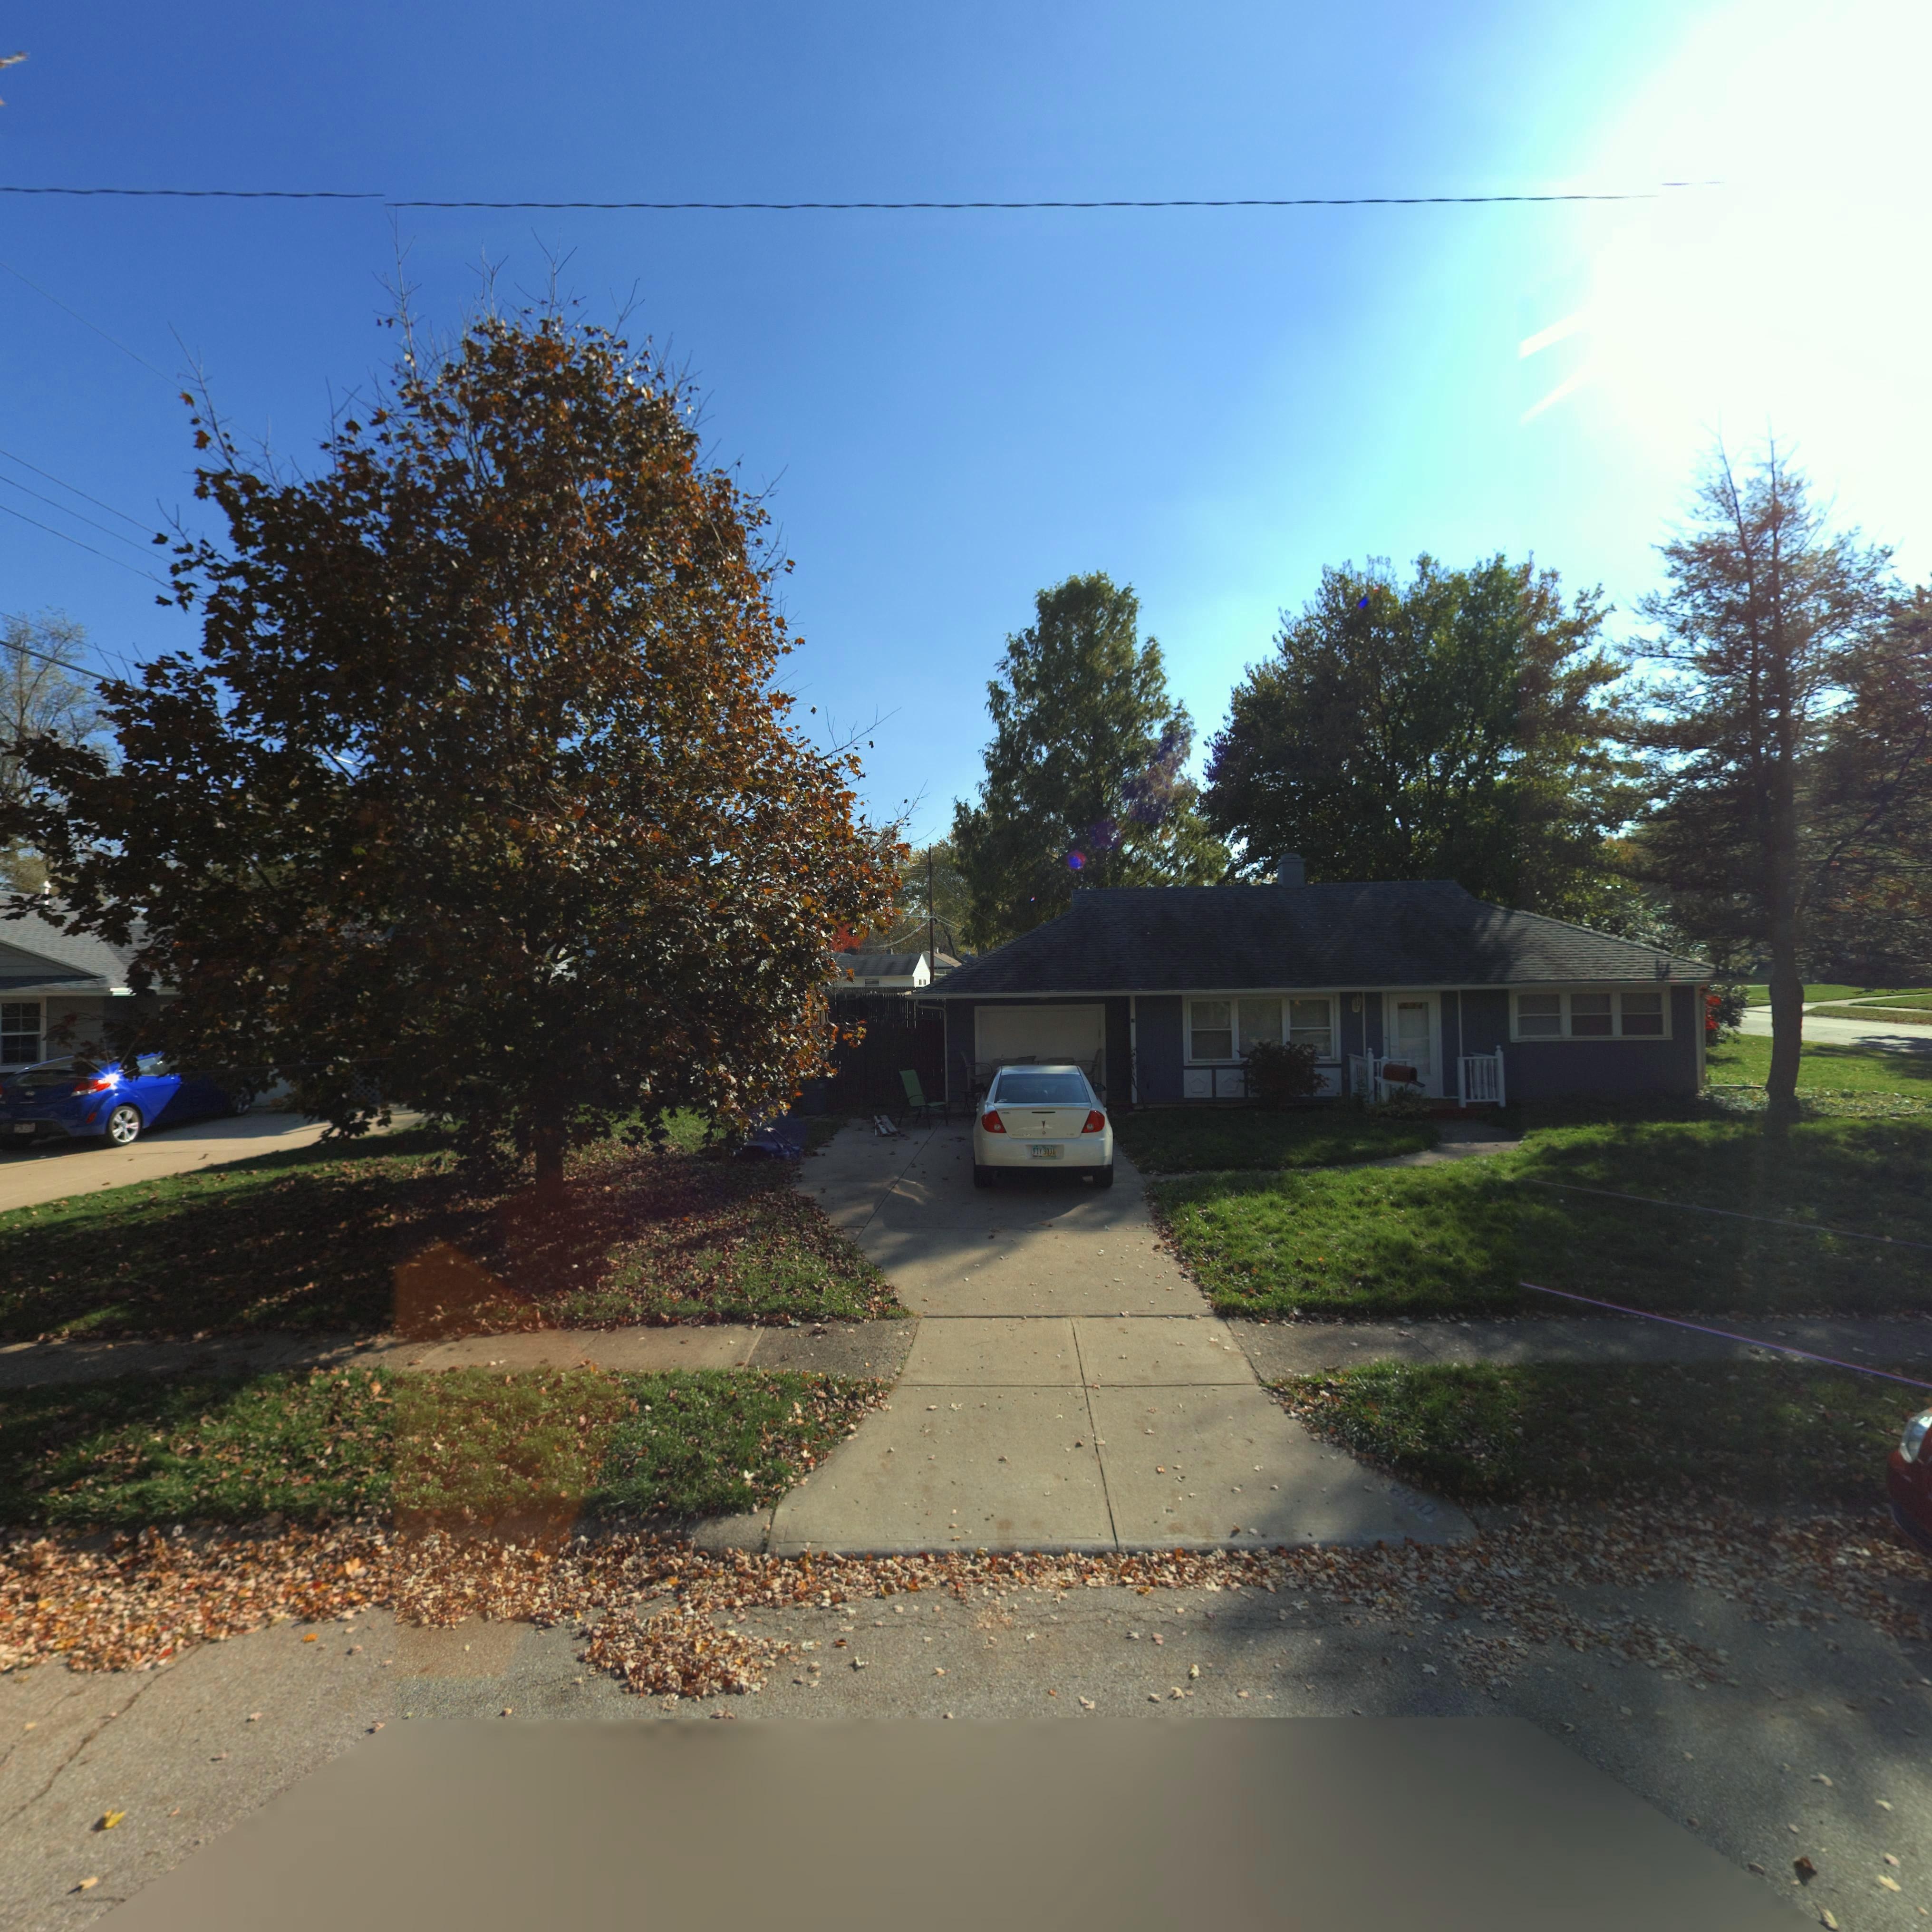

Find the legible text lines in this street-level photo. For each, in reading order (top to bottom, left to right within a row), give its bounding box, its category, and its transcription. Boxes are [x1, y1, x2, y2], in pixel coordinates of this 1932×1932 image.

[1033, 1147, 1055, 1154] None: FIY 9031